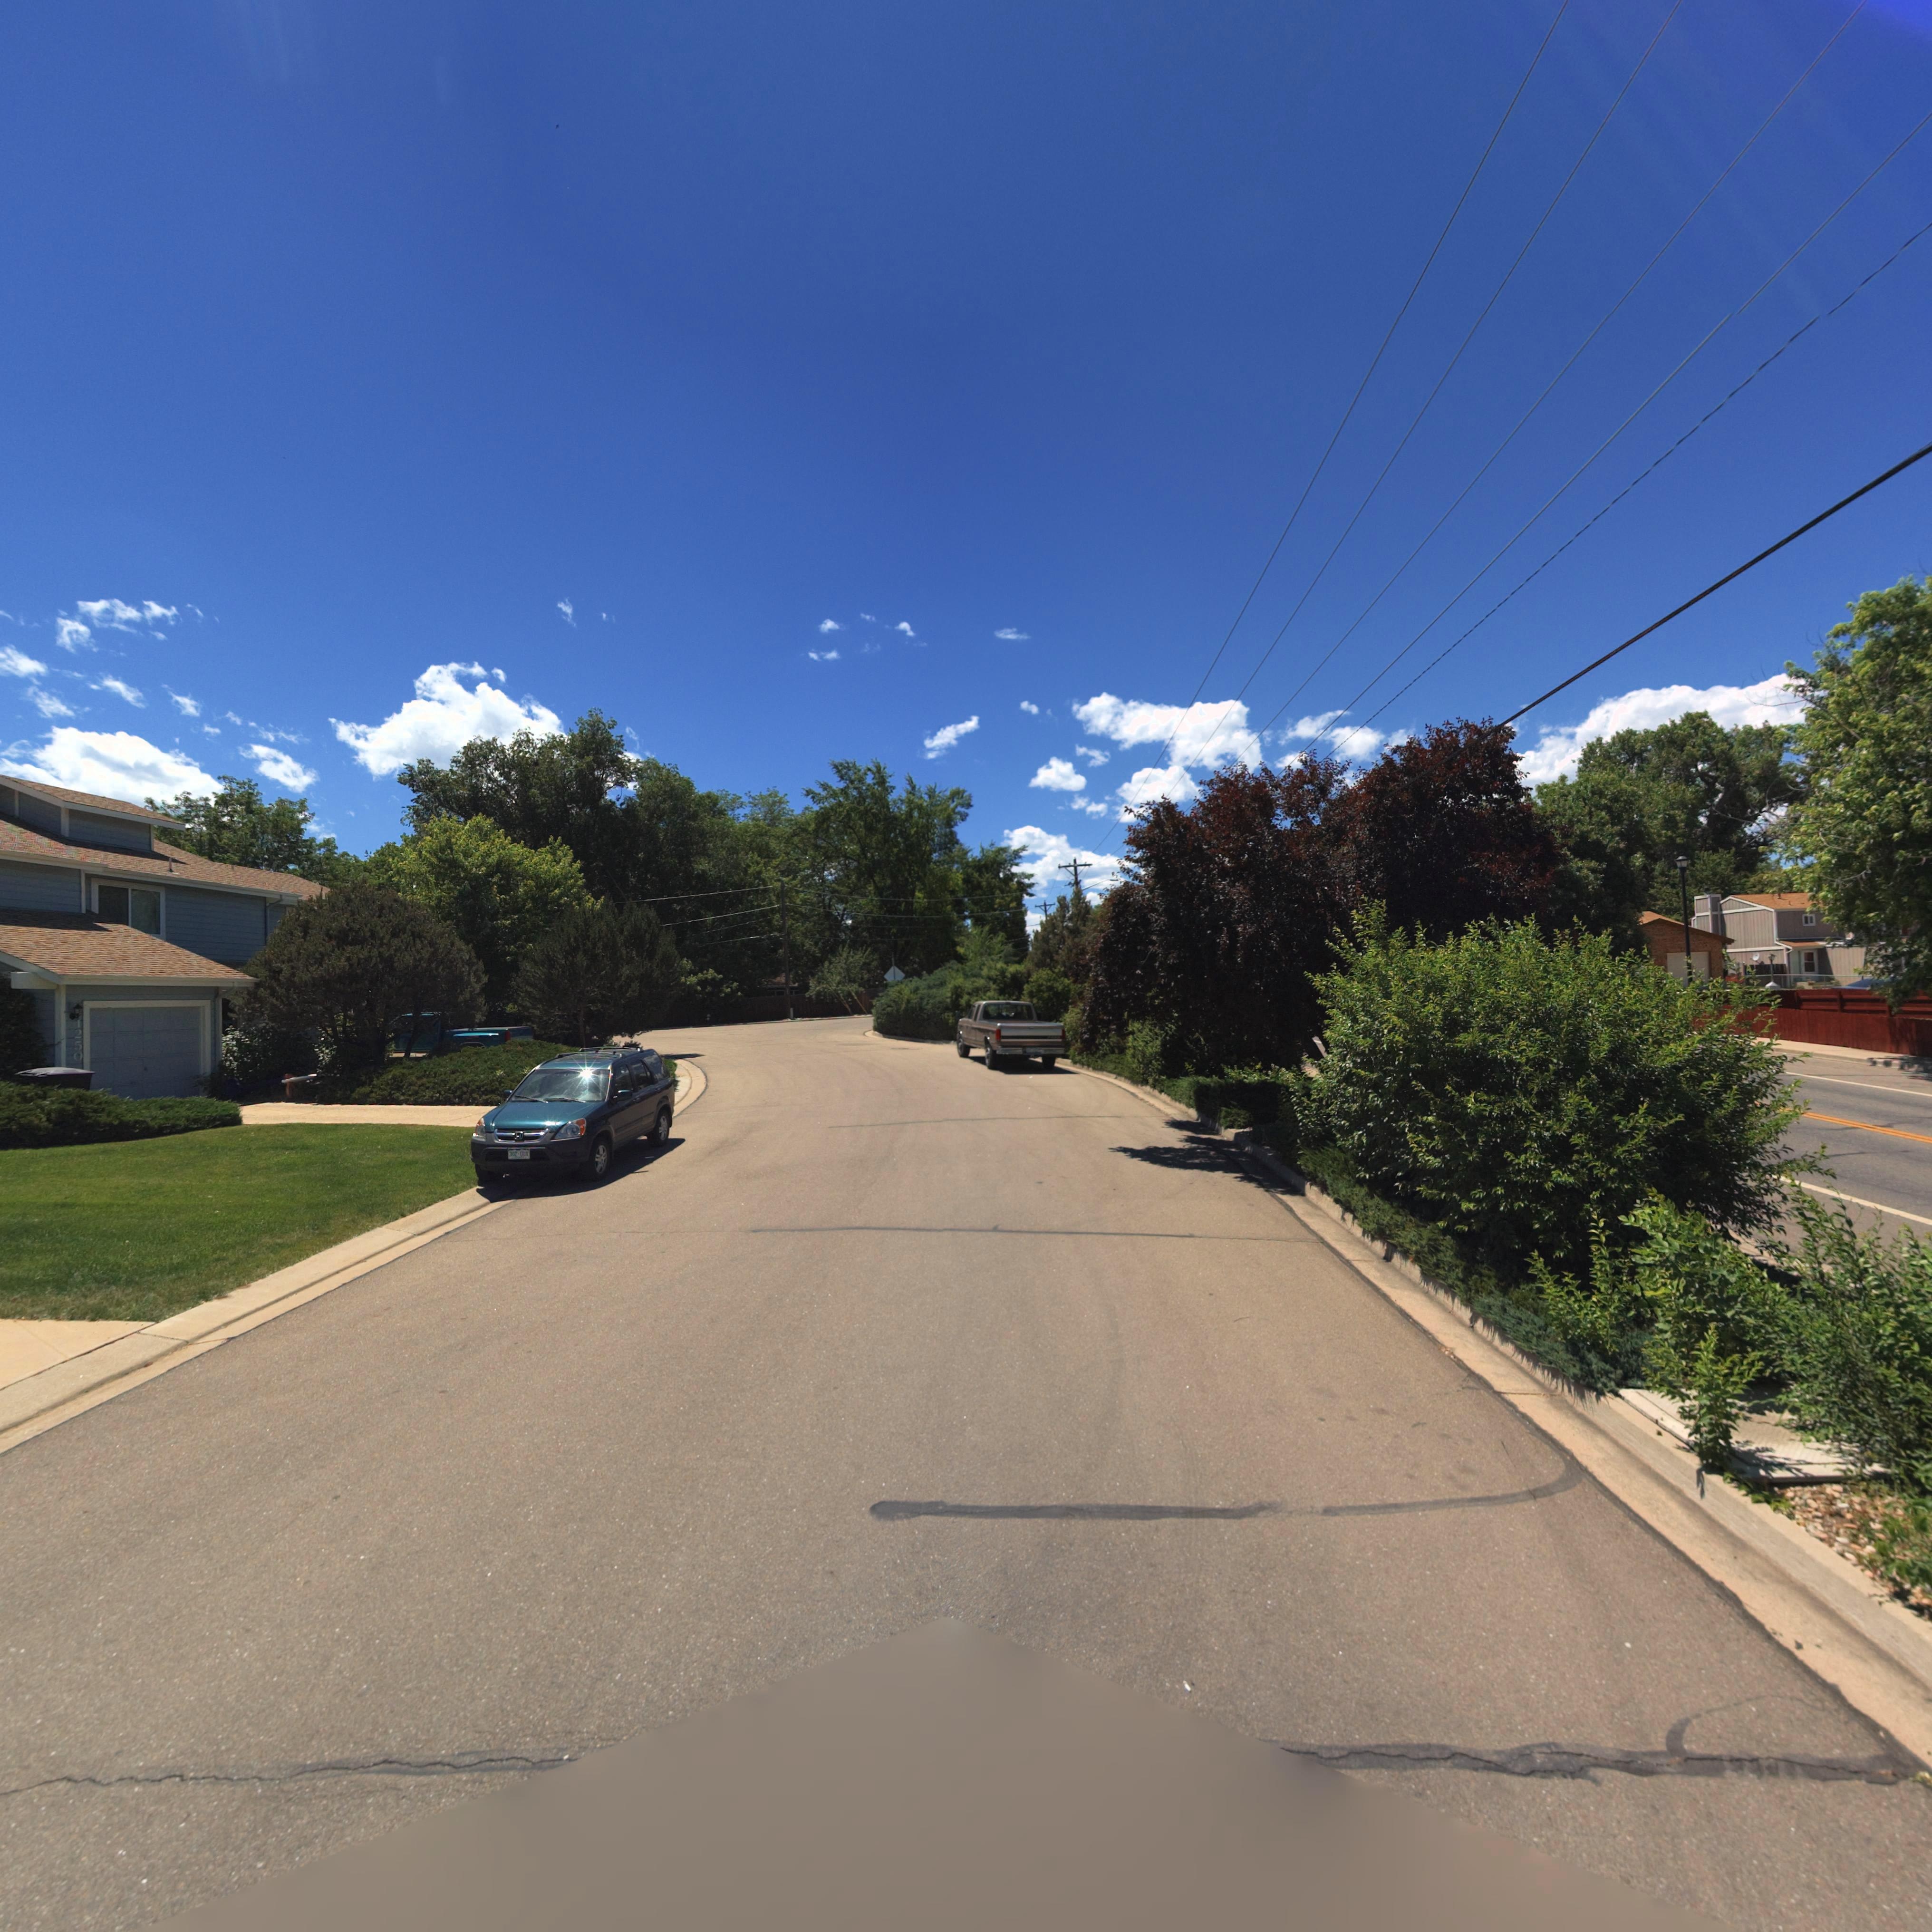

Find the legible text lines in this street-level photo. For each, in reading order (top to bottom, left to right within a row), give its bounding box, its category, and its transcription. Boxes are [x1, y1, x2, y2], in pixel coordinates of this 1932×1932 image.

[73, 1018, 83, 1062] StreetNumber: 1250